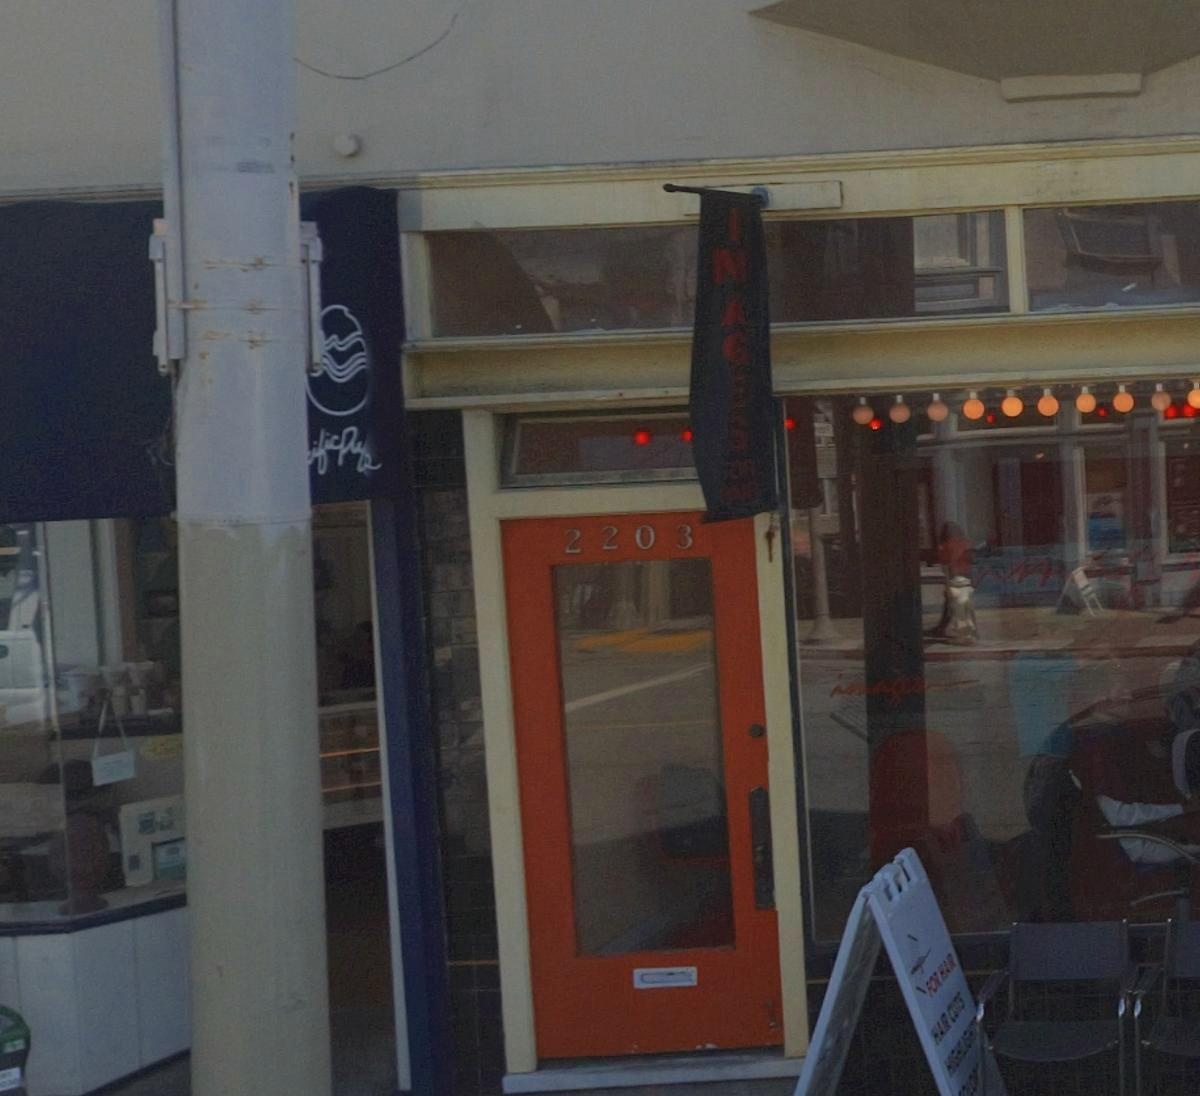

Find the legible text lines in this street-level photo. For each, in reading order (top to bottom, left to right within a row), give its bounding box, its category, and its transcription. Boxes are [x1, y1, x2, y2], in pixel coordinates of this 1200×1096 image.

[712, 204, 758, 456] BusinessName: IMAGES
[311, 425, 374, 476] BusinessName: ific Pub
[719, 458, 758, 480] BusinessName: FOR
[562, 521, 695, 556] StreetNumber: 2203
[826, 671, 926, 708] BusinessName: images
[923, 949, 958, 998] None: FOR HAIR
[929, 988, 967, 1047] None: HAIR CUTS
[943, 1013, 980, 1081] None: HIGHLIGHTS